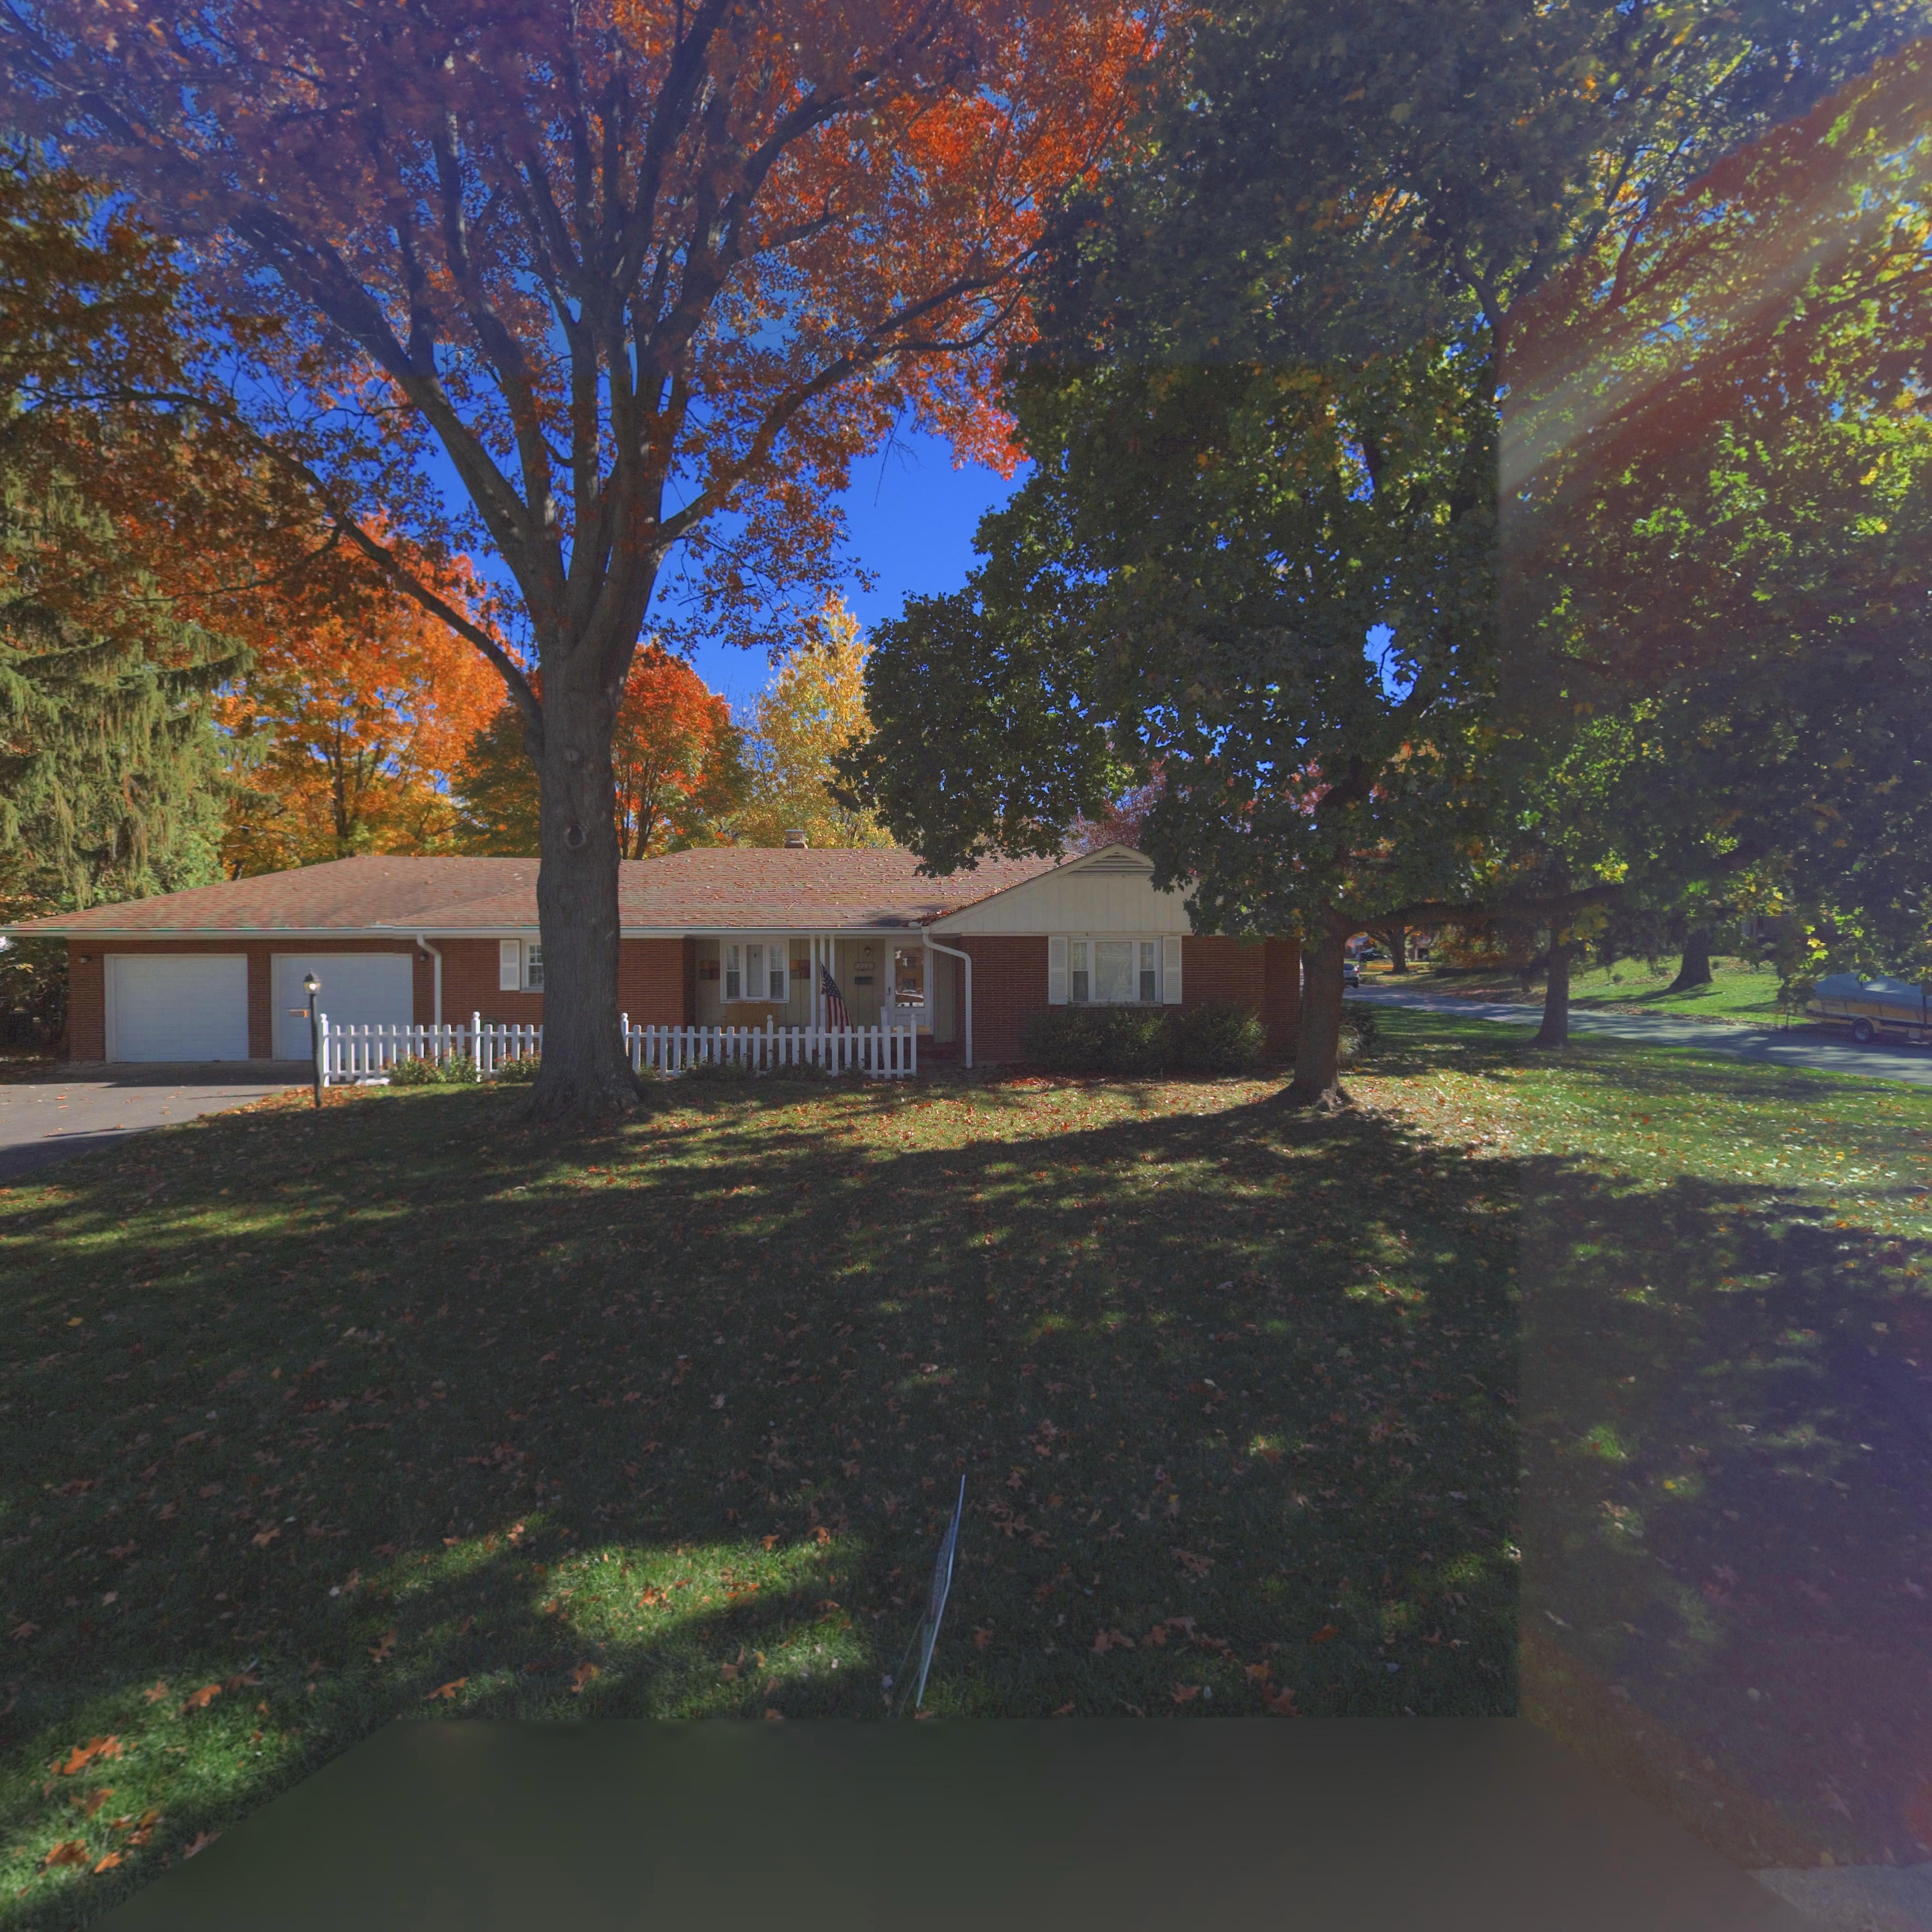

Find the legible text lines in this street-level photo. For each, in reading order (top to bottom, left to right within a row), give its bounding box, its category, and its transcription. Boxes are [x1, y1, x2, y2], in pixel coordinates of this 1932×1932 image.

[855, 963, 873, 970] StreetNumber: 42**